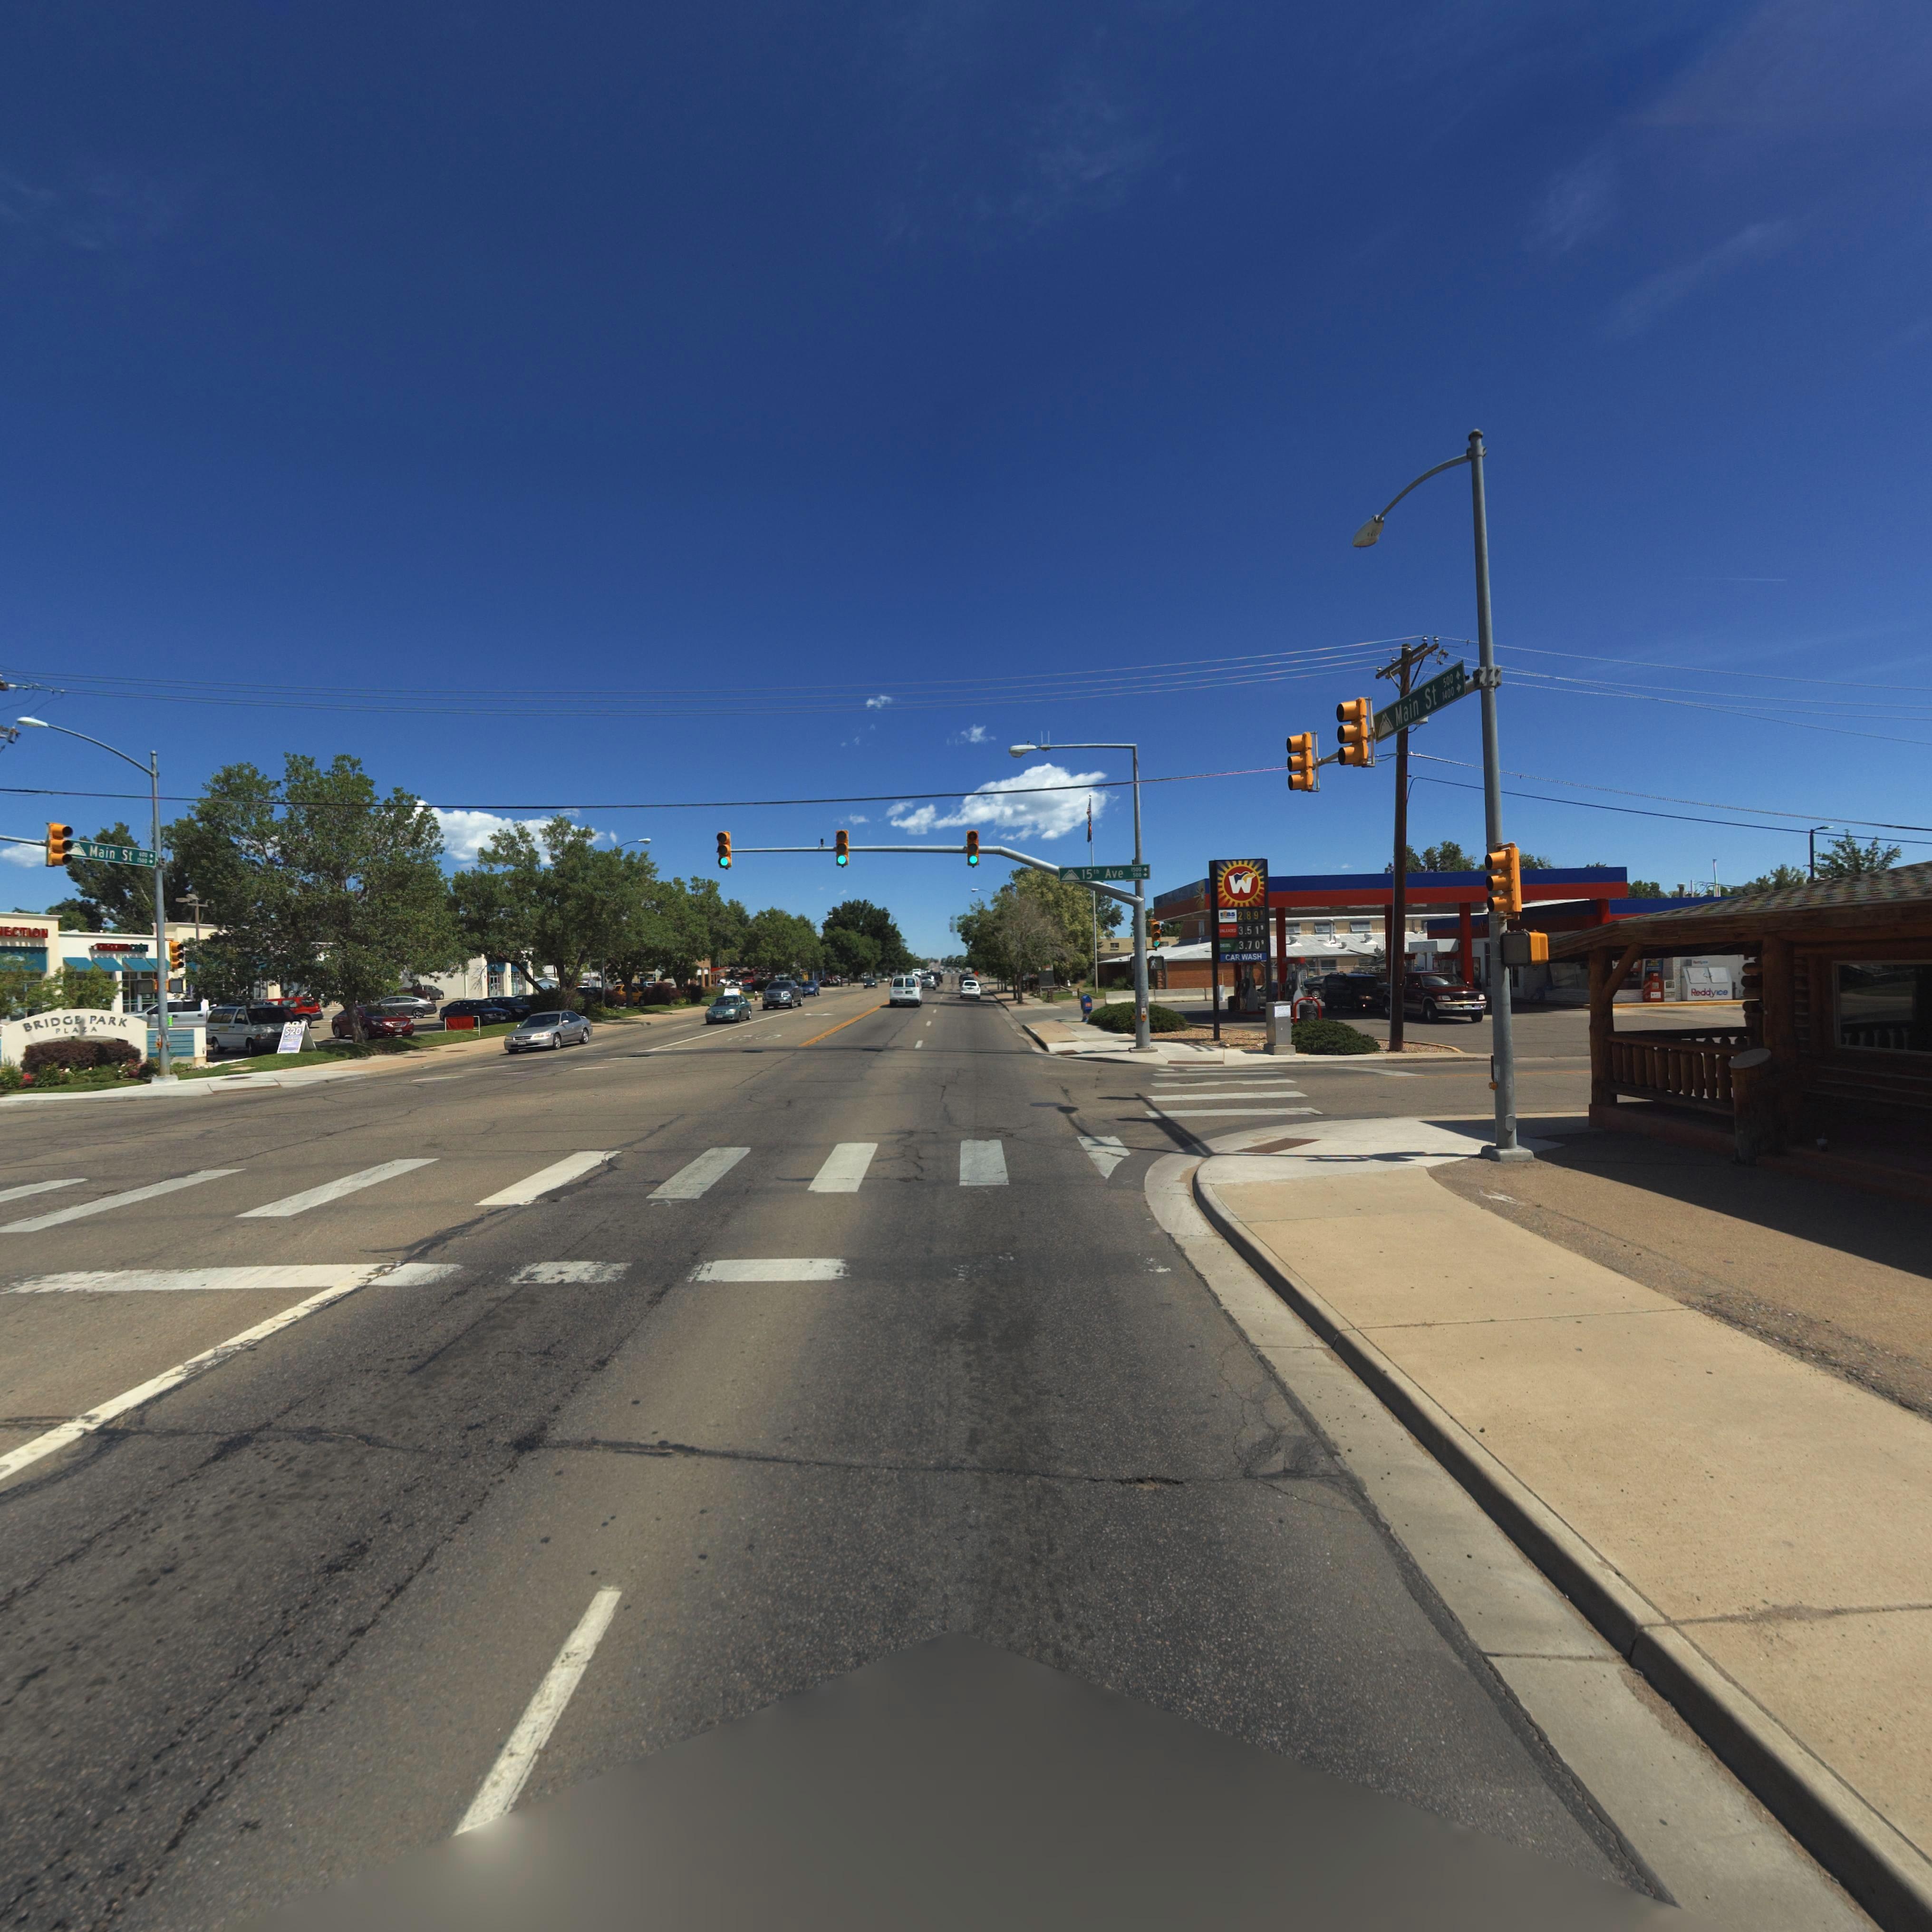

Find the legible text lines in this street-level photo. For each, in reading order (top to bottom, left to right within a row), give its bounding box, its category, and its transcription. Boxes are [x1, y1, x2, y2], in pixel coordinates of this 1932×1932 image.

[1442, 672, 1454, 688] StreetNumberRange: 500
[1441, 683, 1462, 701] StreetNumberRange: 1400->
[1394, 683, 1438, 727] StreetName: Main St
[89, 844, 133, 861] StreetName: Main St
[139, 851, 148, 857] StreetNumberRange: *00
[136, 857, 154, 864] StreetNumberRange: 1*00->
[1081, 868, 1123, 879] StreetName: 15th Ave
[1130, 867, 1142, 872] StreetNumberRange: 1500
[1132, 872, 1148, 878] StreetNumberRange: 500->
[4, 926, 48, 938] BusinessName: ECTION